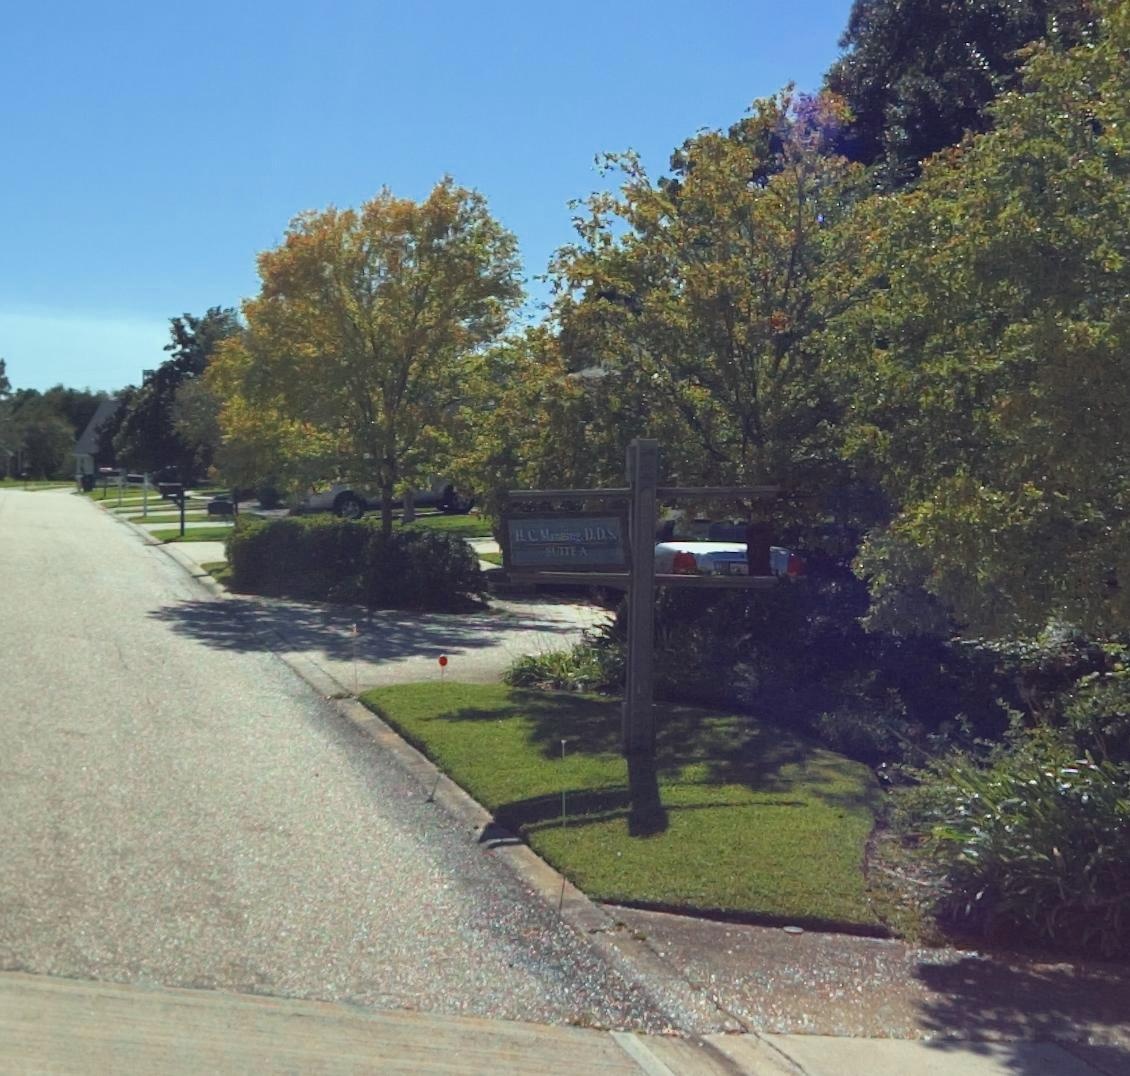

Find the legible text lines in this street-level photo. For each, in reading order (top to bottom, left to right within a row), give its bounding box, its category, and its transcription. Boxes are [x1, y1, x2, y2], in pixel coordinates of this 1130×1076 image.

[514, 525, 619, 544] BusinessName: H.C. M***i*g, D.D.S.
[543, 544, 589, 559] SecondaryUnitDesignator: SUITE A